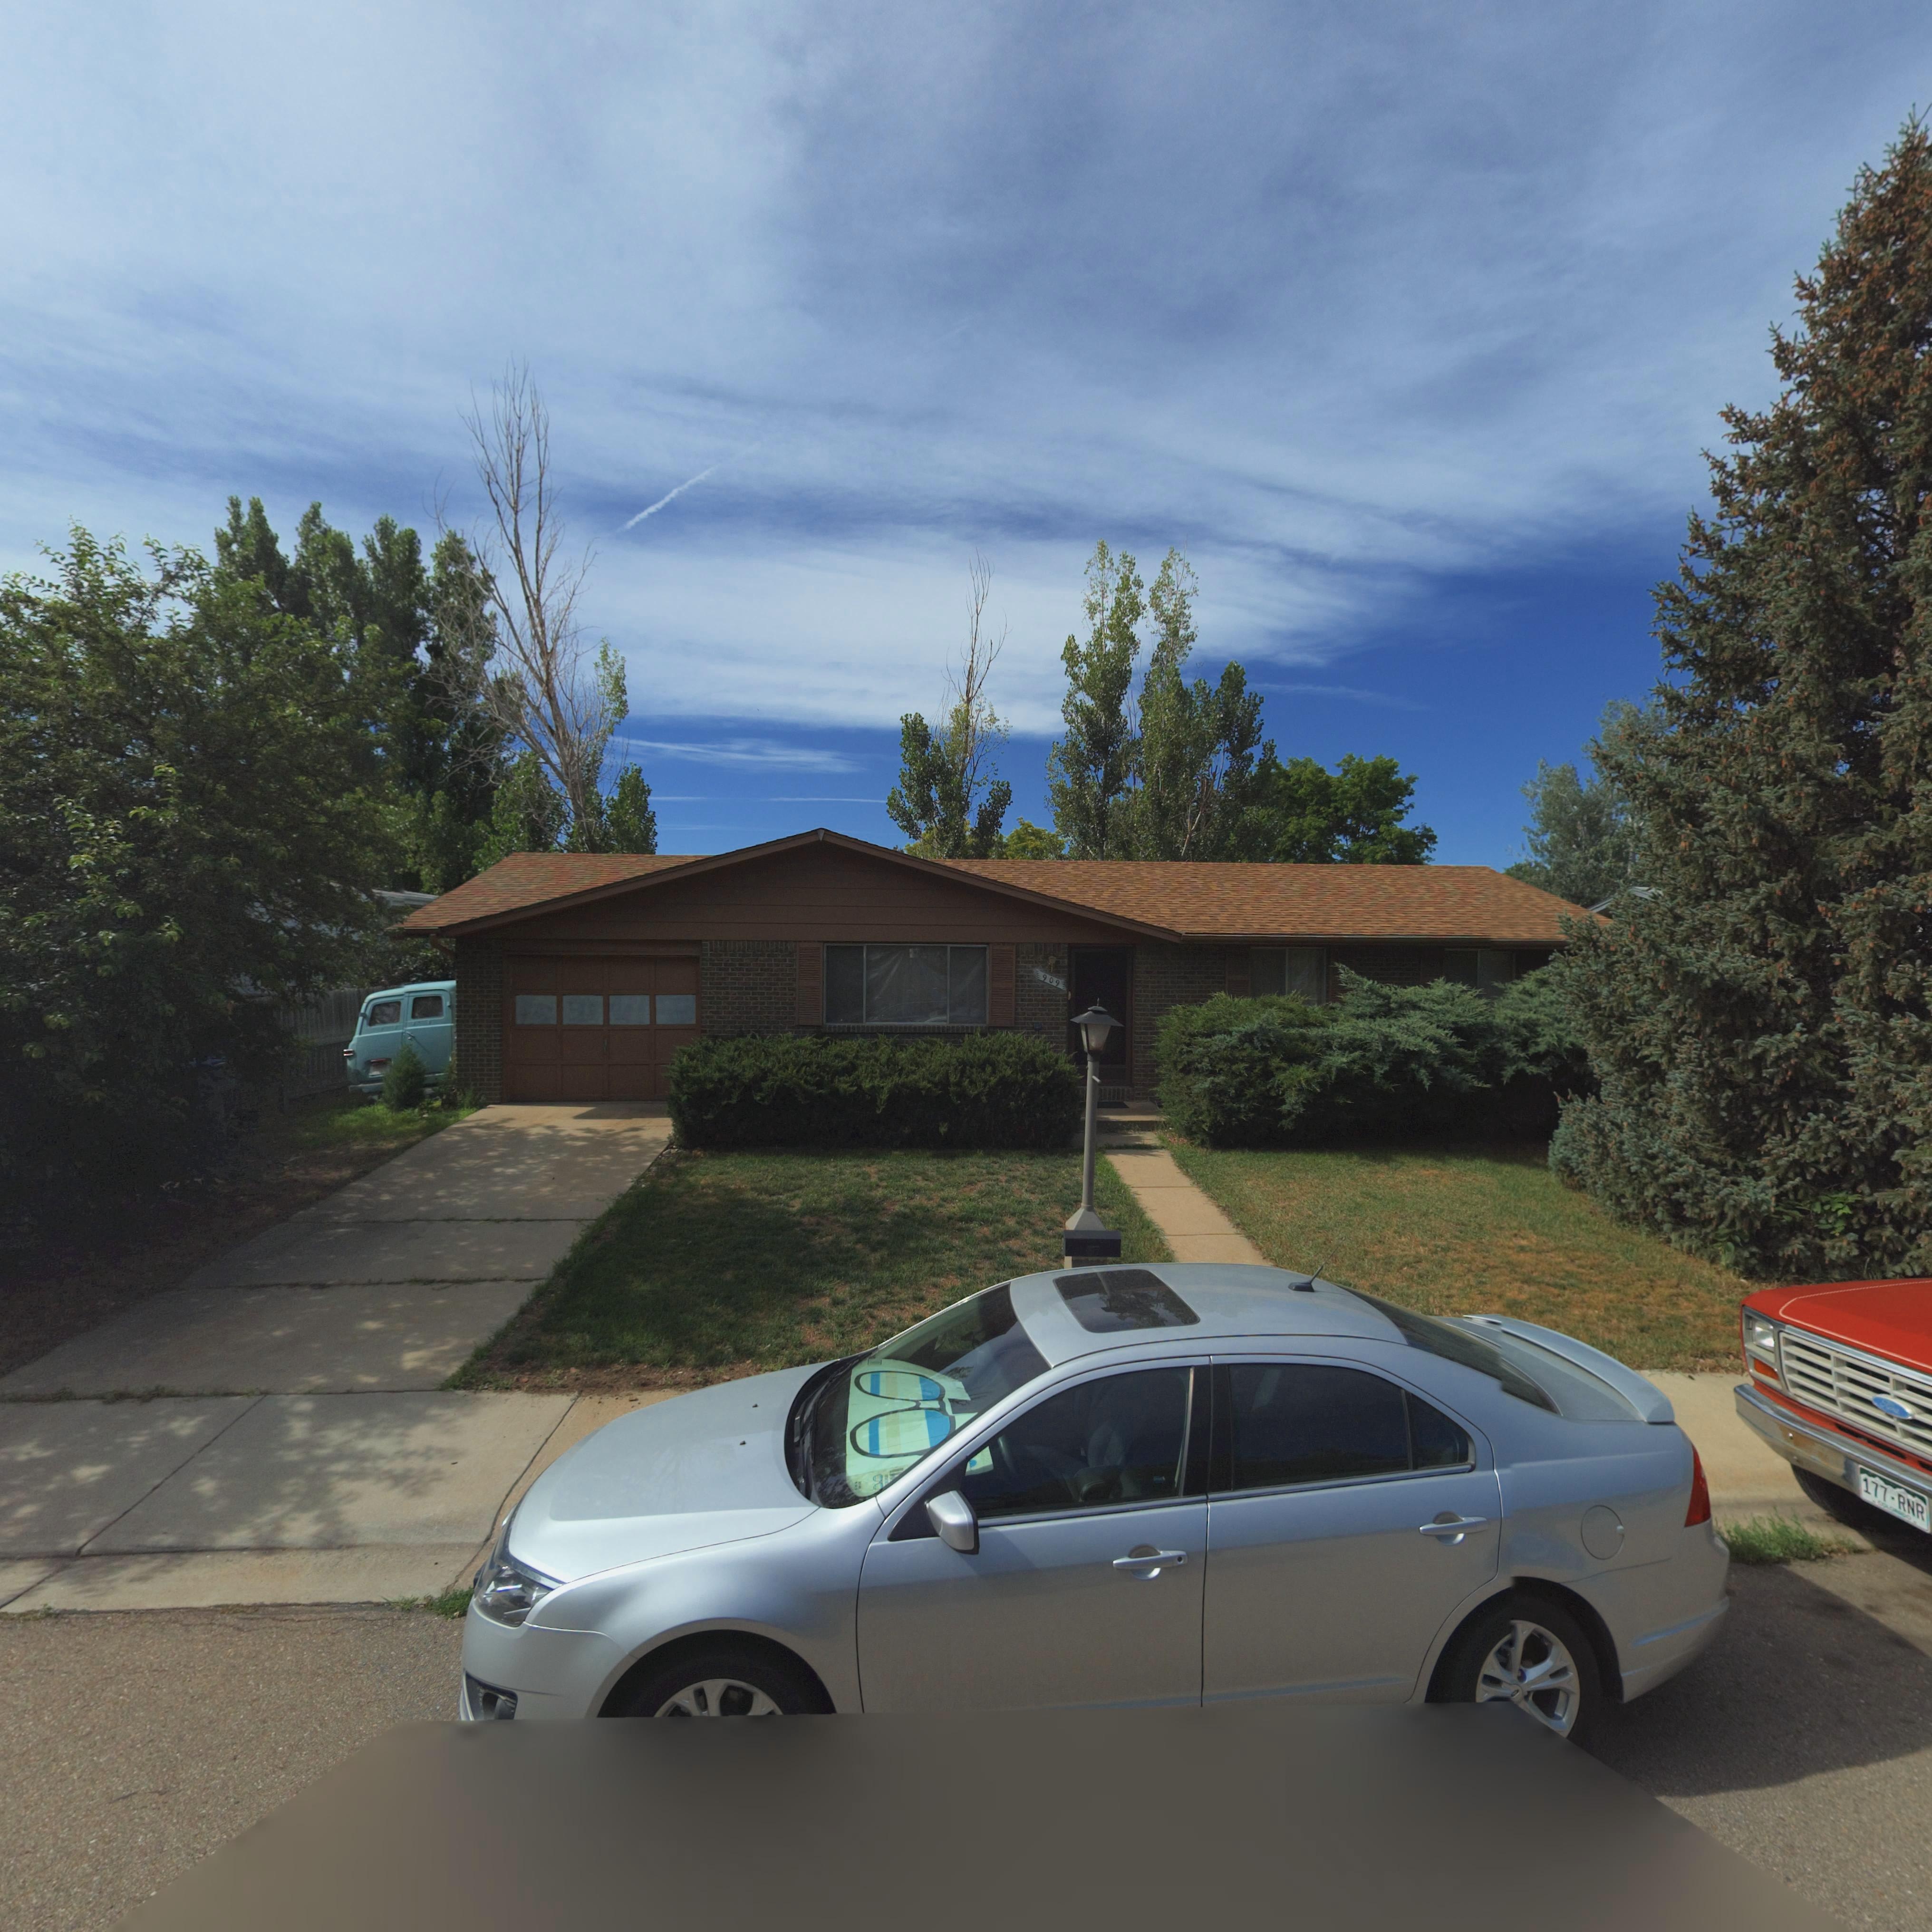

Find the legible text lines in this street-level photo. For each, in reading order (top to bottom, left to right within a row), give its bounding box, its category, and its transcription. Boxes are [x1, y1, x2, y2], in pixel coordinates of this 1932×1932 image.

[1042, 974, 1060, 986] StreetNumber: 909